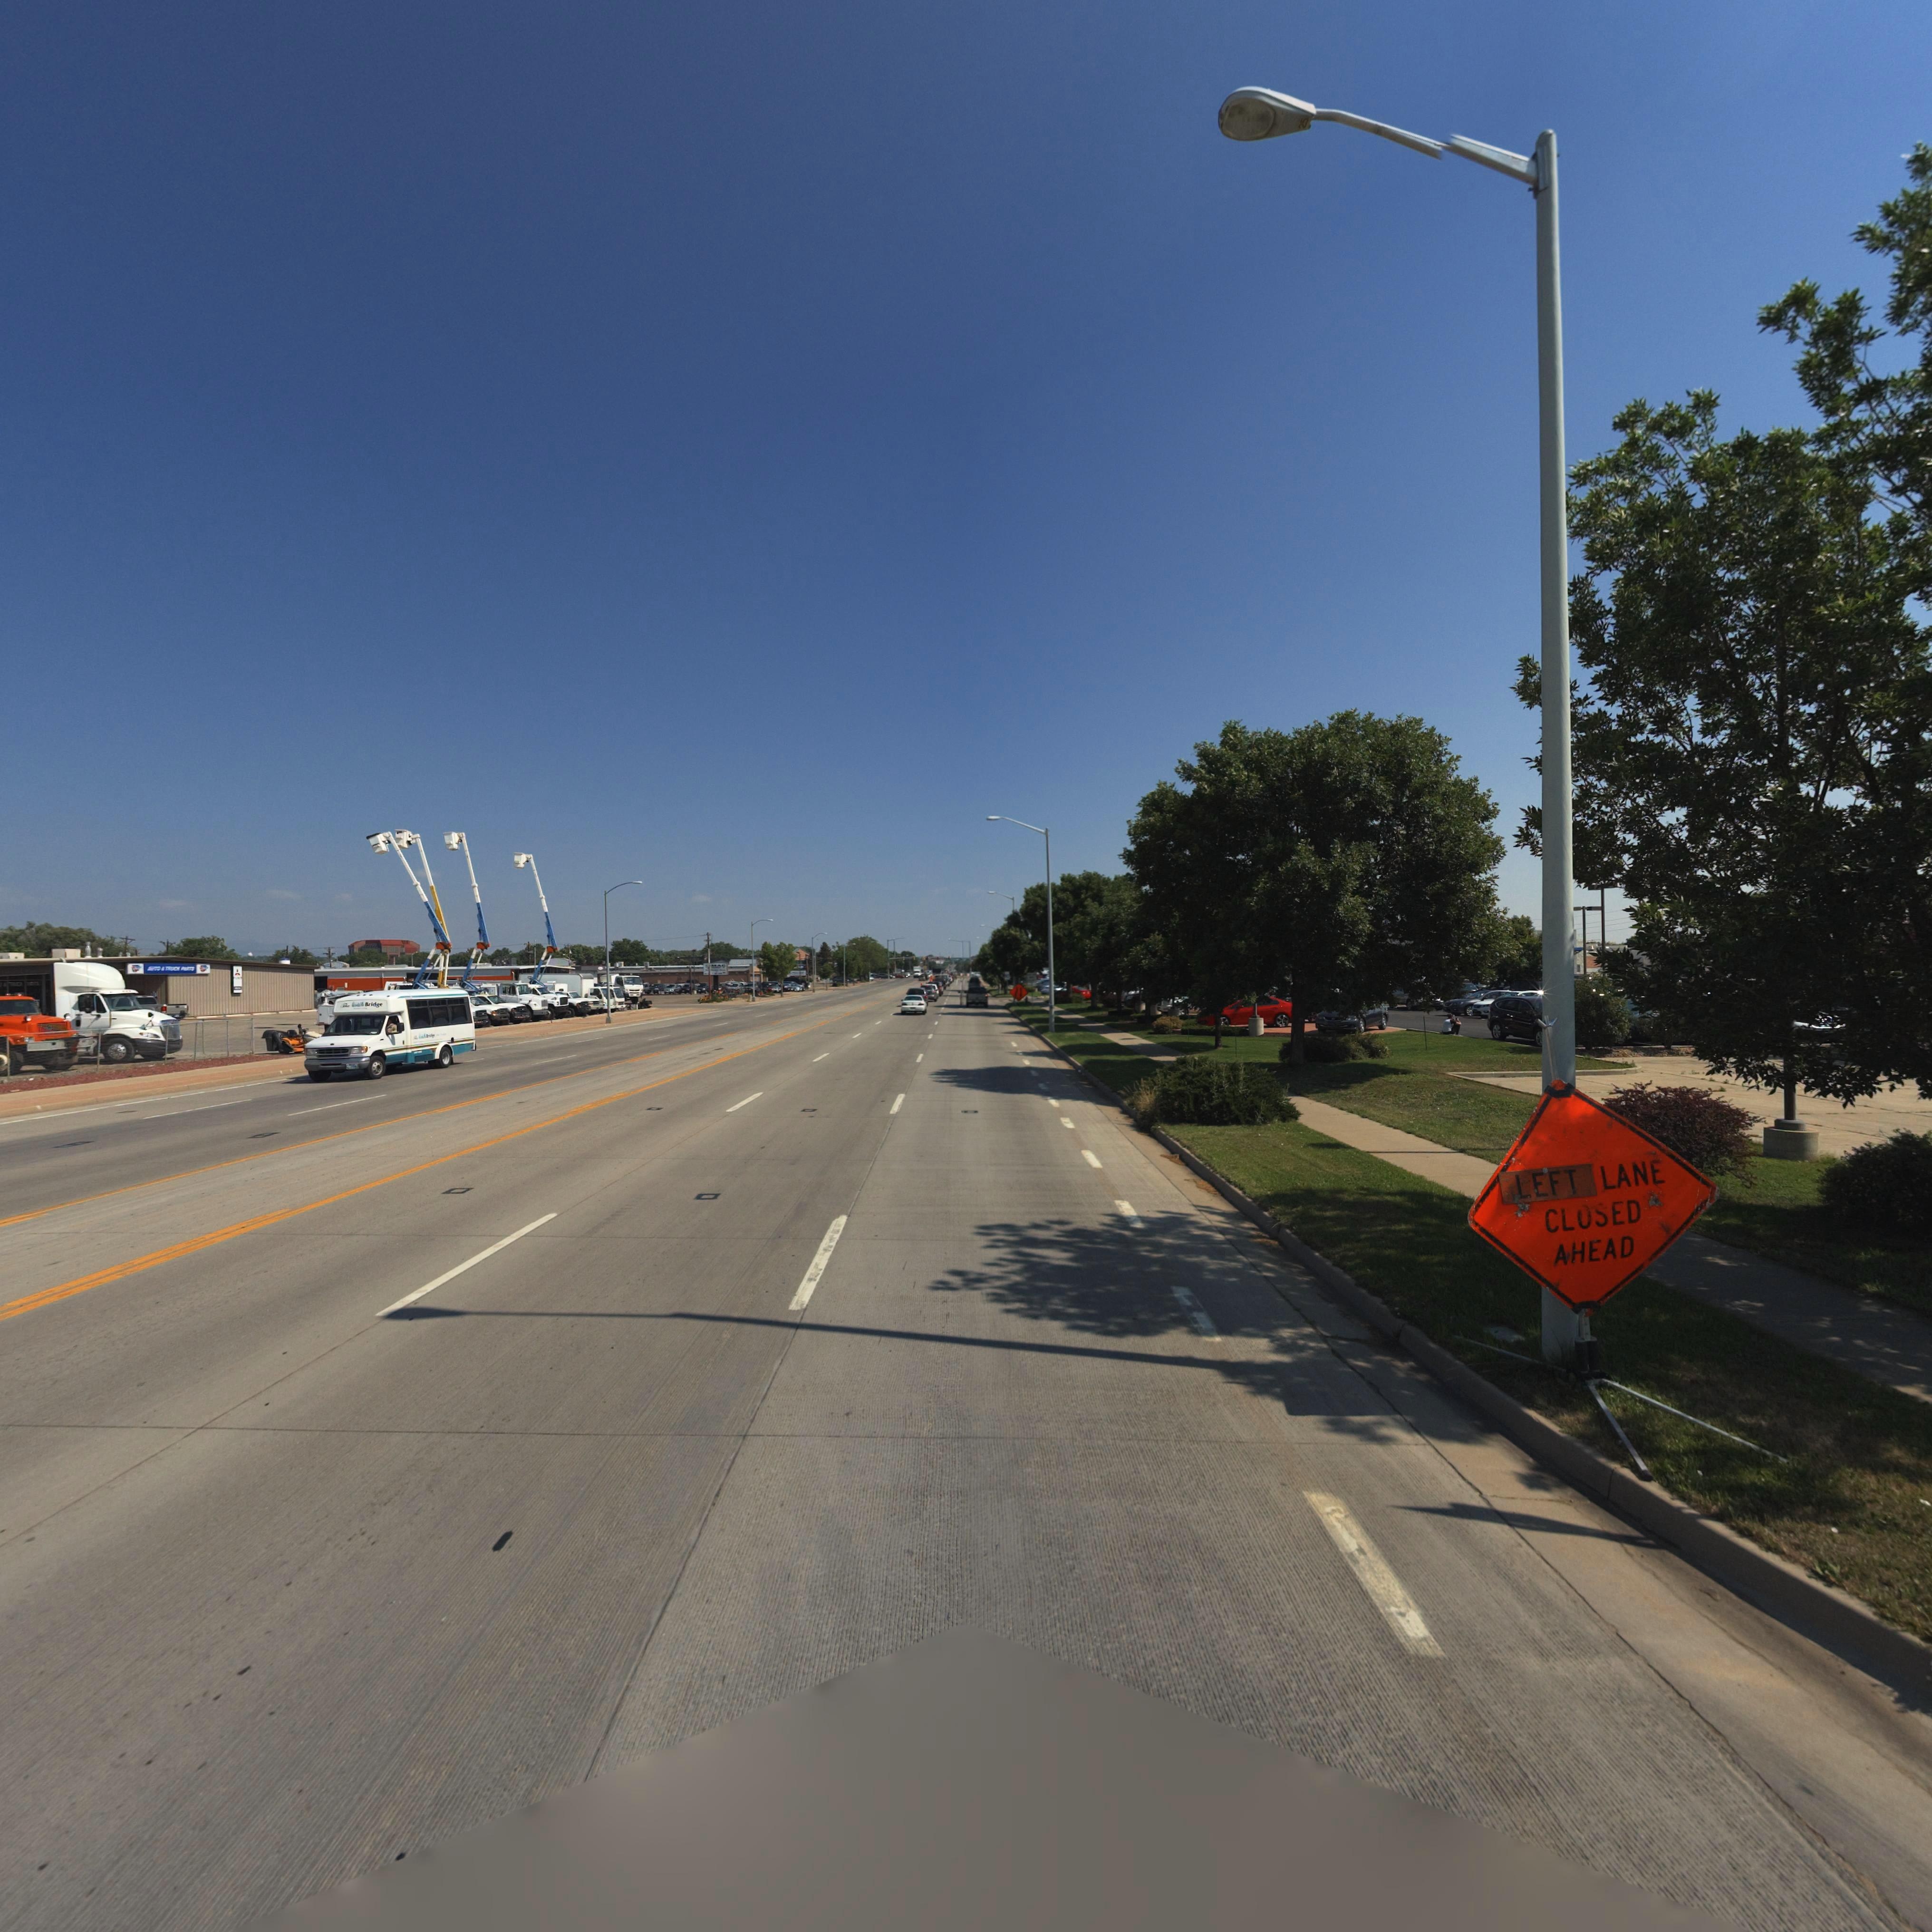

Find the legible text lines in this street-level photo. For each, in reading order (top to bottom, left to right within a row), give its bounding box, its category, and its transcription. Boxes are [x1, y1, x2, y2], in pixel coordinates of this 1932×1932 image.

[711, 964, 725, 966] BusinessName: MAC